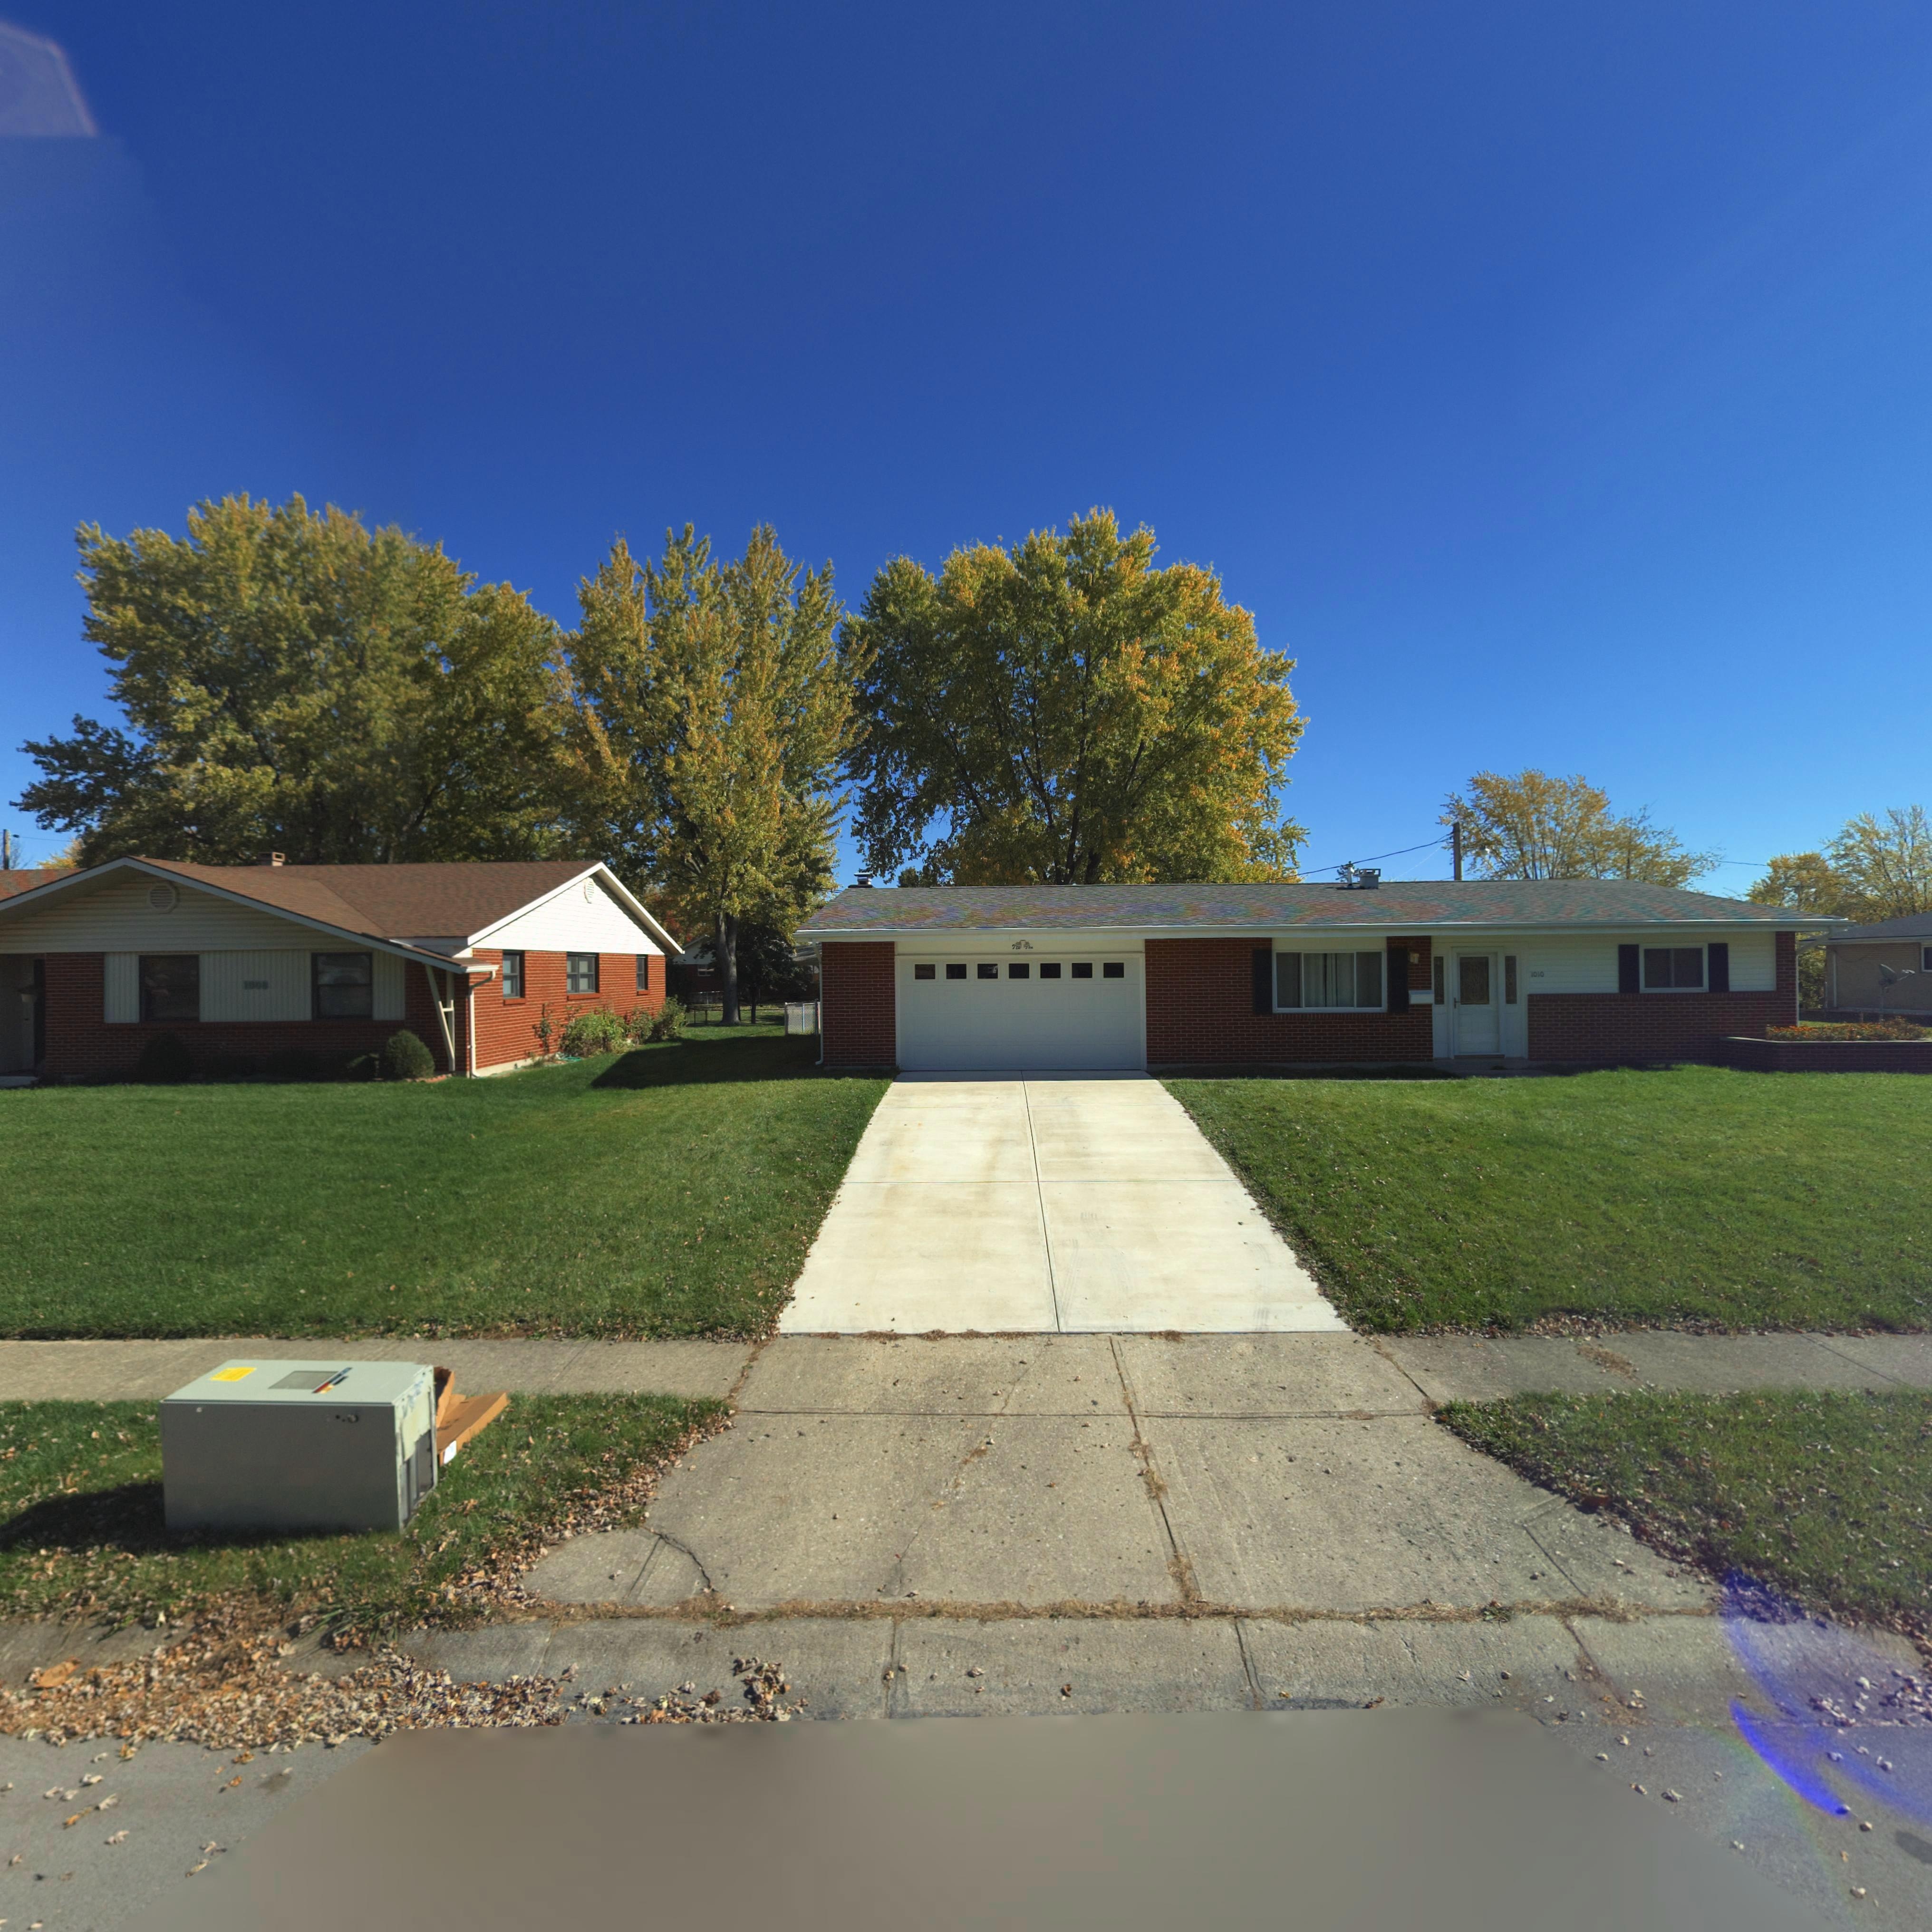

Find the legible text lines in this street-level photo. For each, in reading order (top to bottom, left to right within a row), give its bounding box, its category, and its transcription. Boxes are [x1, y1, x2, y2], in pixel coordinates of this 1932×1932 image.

[1028, 946, 1034, 949] StreetNumber: en
[1530, 971, 1545, 978] StreetNumber: 1010
[243, 980, 269, 990] StreetNumber: 100*